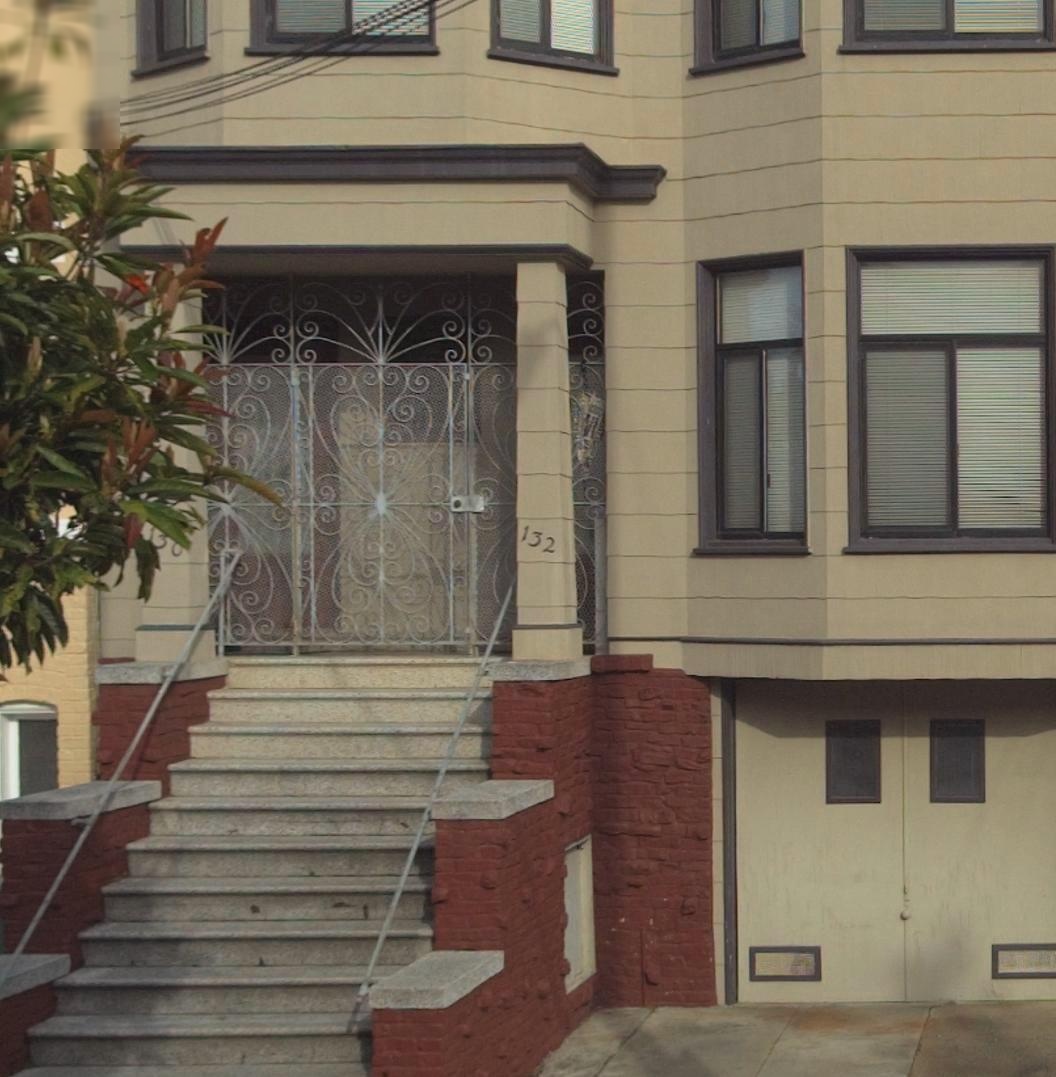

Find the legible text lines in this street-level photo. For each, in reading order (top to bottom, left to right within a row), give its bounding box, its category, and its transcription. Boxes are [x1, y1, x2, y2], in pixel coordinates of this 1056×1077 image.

[519, 522, 557, 558] StreetNumber: 132